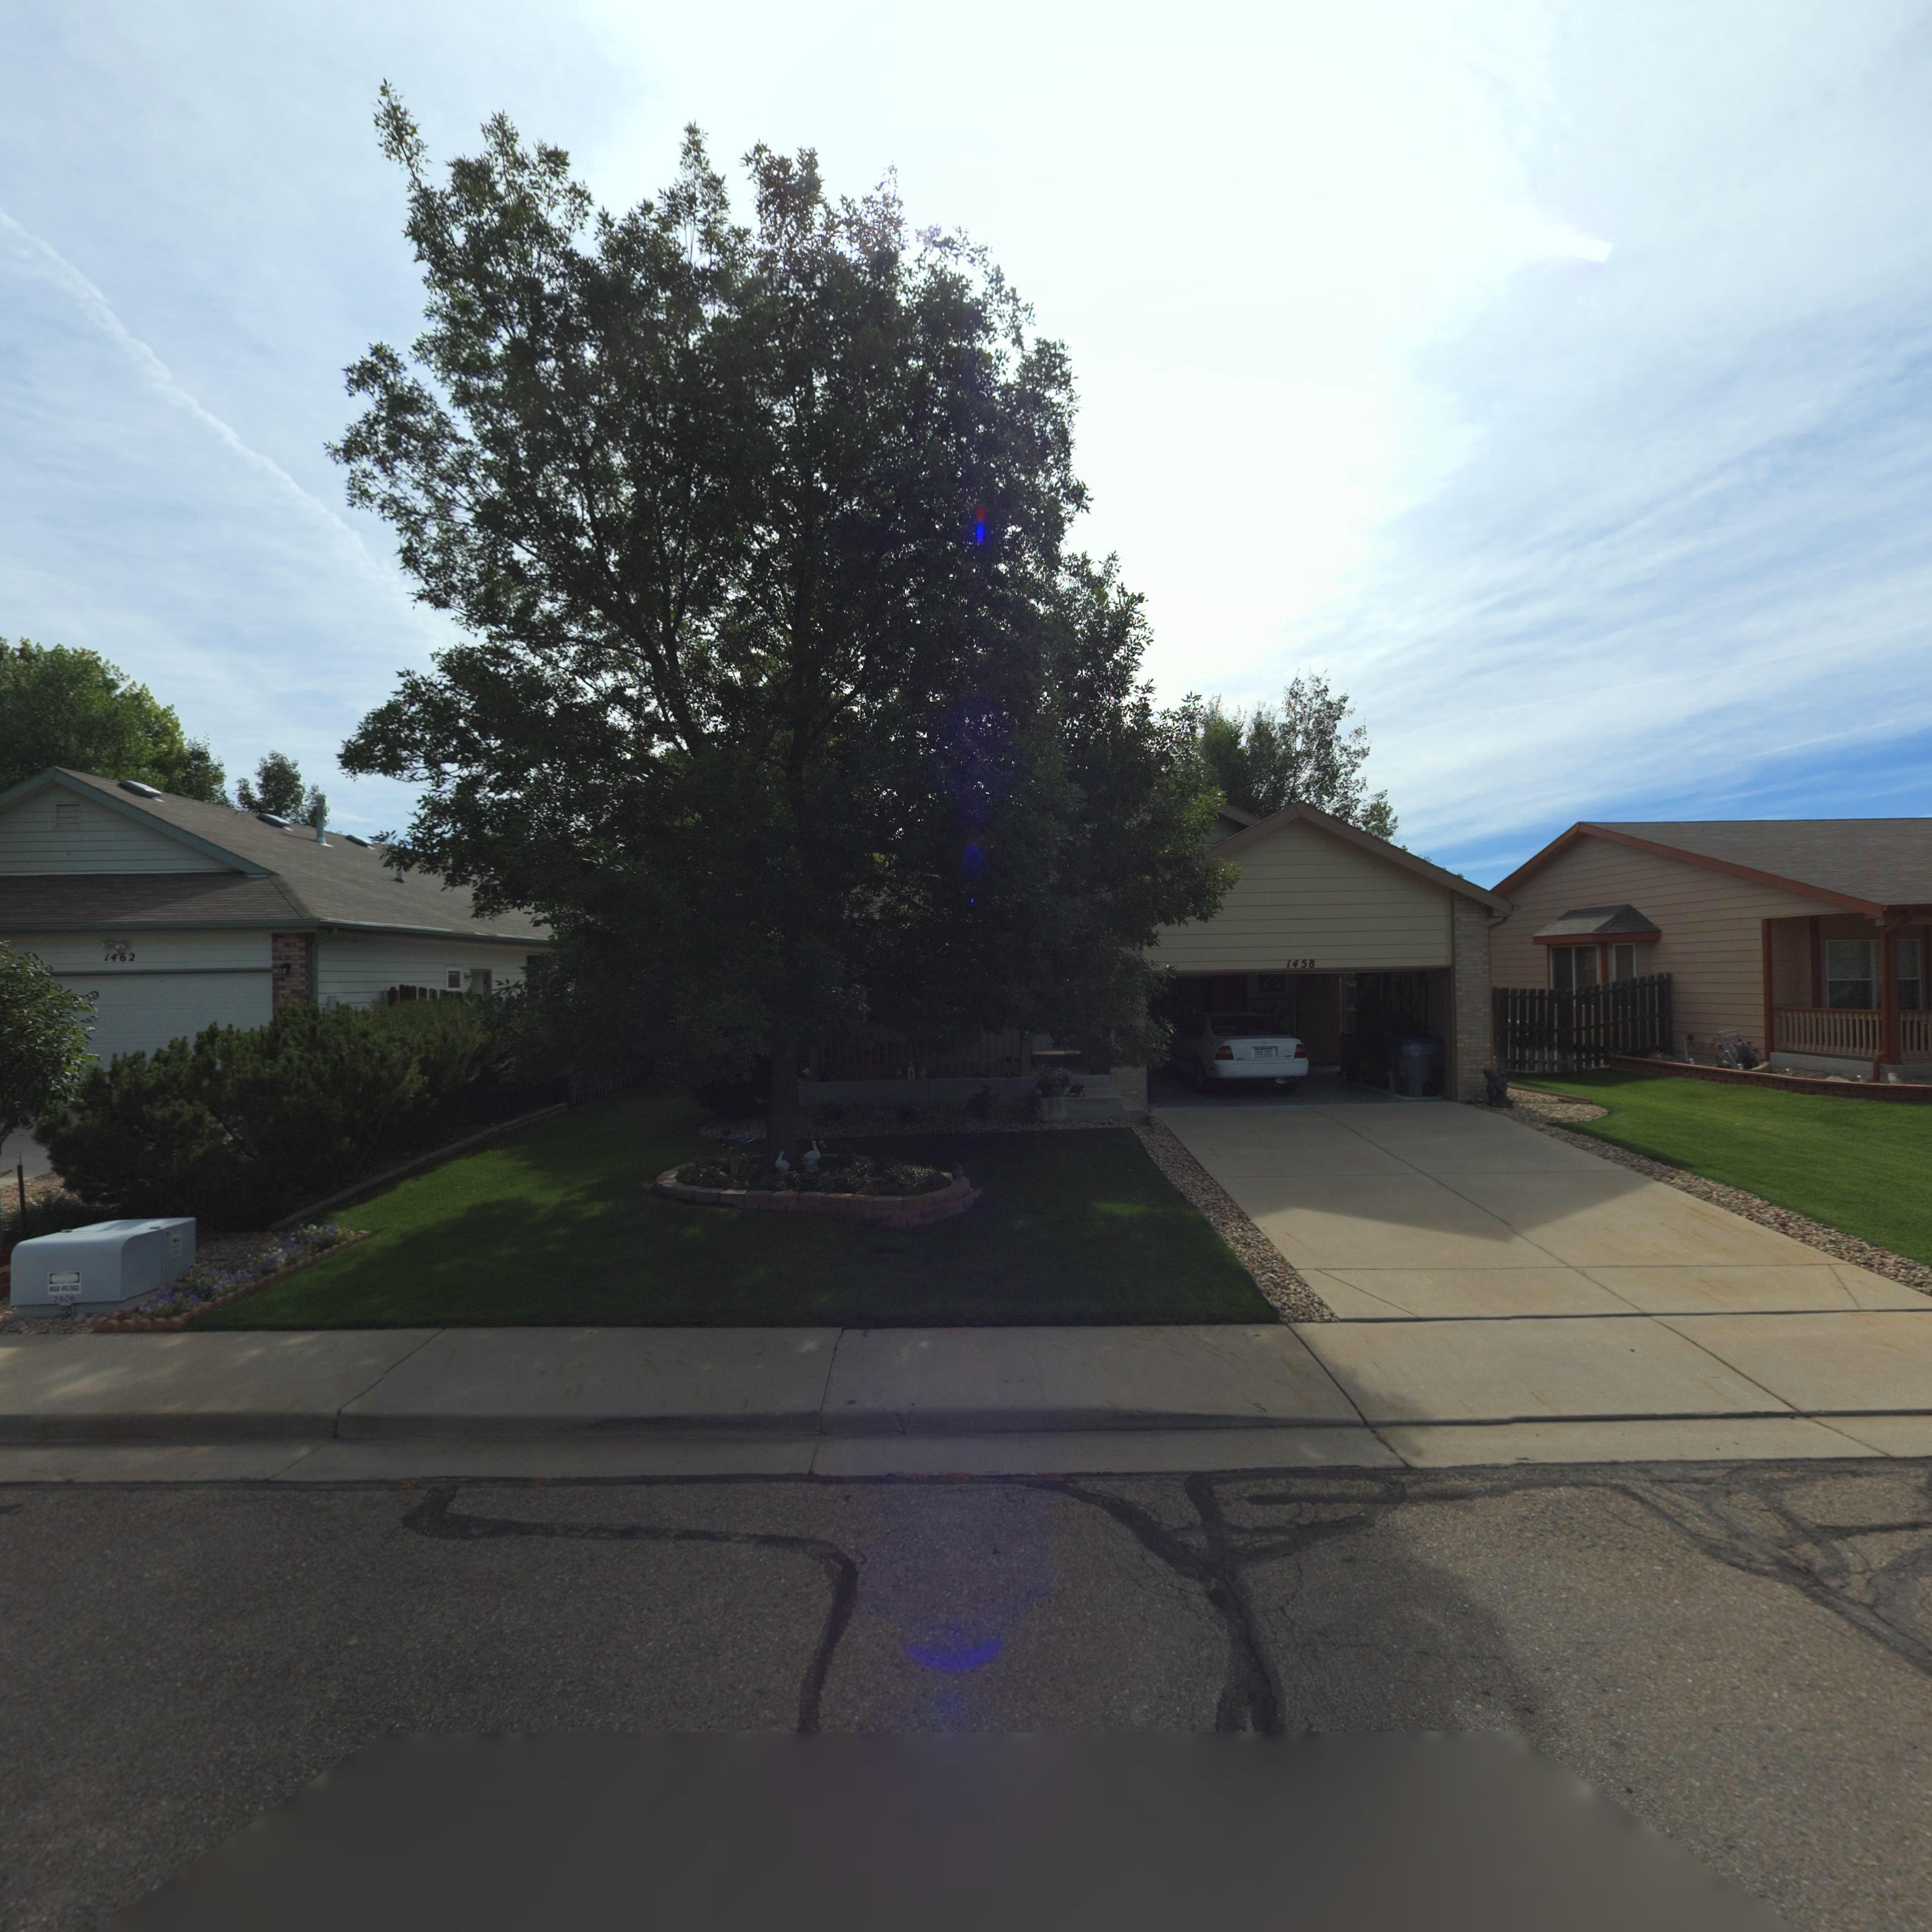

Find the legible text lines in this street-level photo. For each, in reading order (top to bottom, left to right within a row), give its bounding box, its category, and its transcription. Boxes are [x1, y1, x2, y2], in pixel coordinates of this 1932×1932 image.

[103, 951, 135, 962] StreetNumber: 1462
[1285, 958, 1315, 968] StreetNumber: 1458